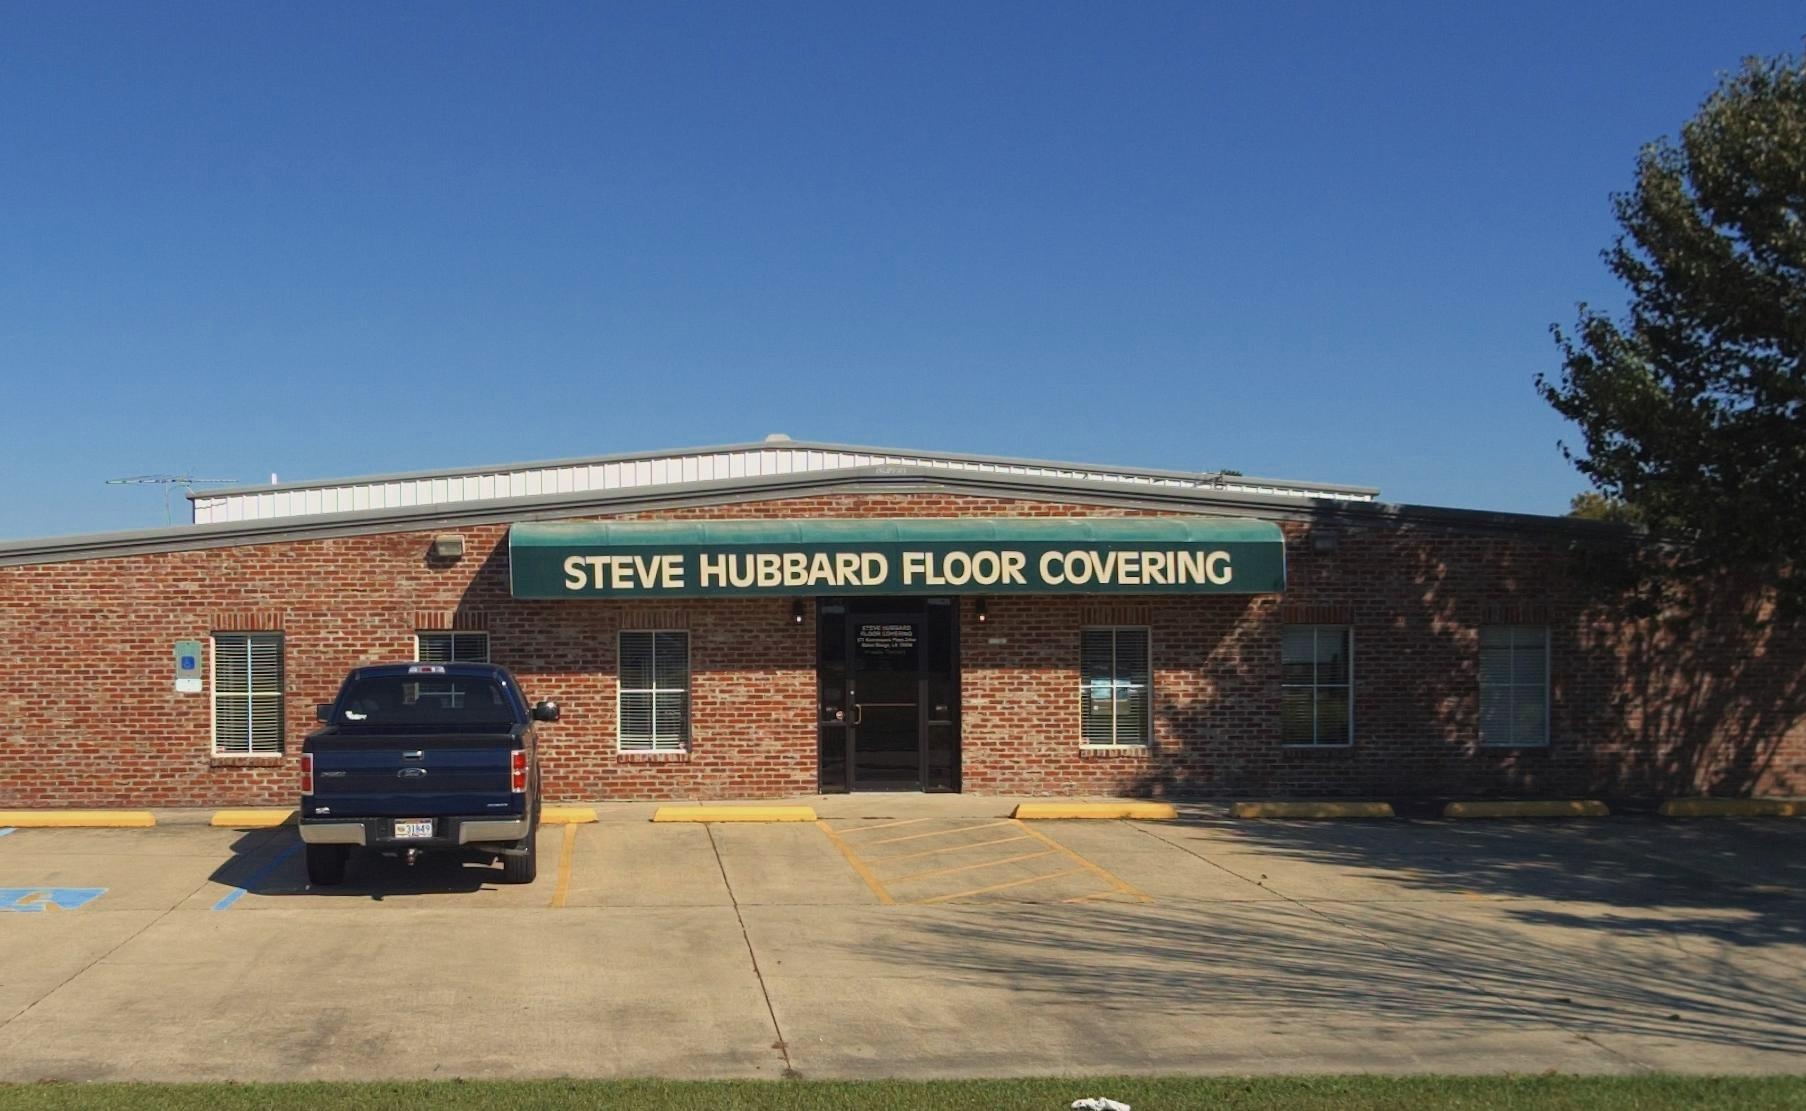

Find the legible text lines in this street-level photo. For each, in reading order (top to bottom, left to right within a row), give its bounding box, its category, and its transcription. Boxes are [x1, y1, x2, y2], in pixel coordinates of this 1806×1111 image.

[561, 547, 1235, 594] BusinessName: STEVE HUBBARD FLOOR COVERING